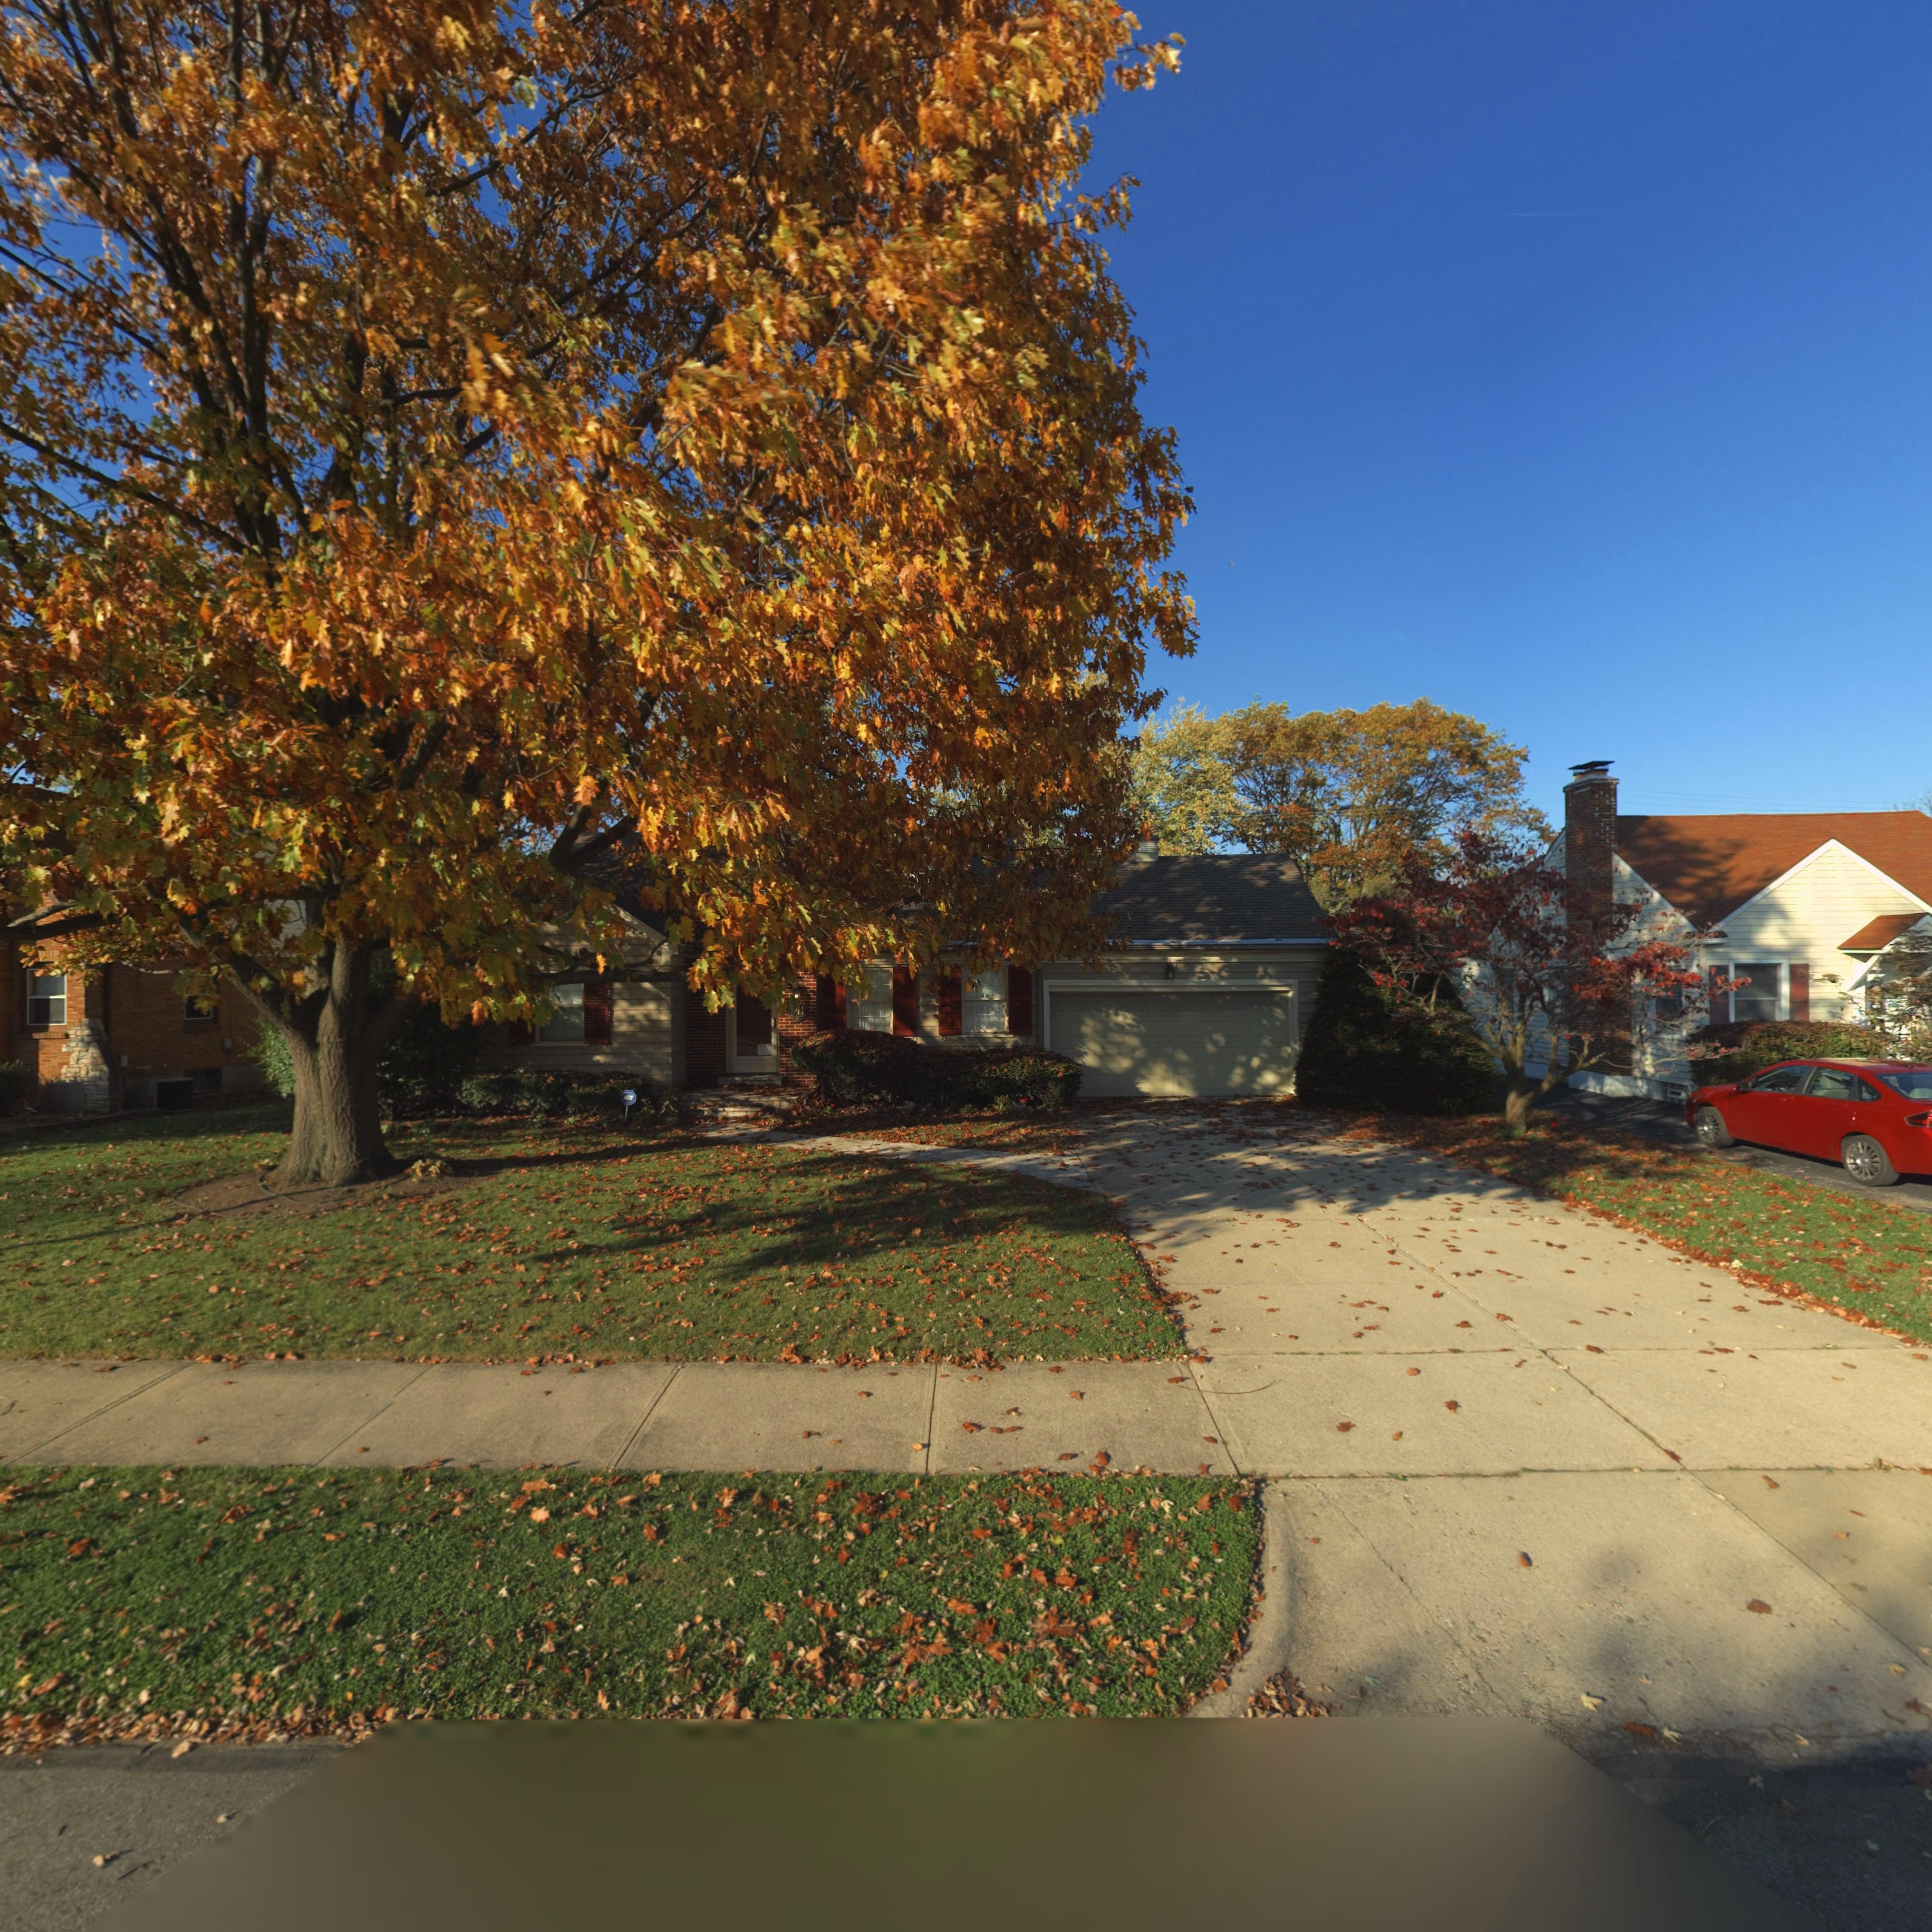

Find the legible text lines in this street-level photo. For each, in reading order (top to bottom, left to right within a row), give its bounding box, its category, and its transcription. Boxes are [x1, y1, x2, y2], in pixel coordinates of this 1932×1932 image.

[790, 1005, 805, 1015] StreetNumber: *41